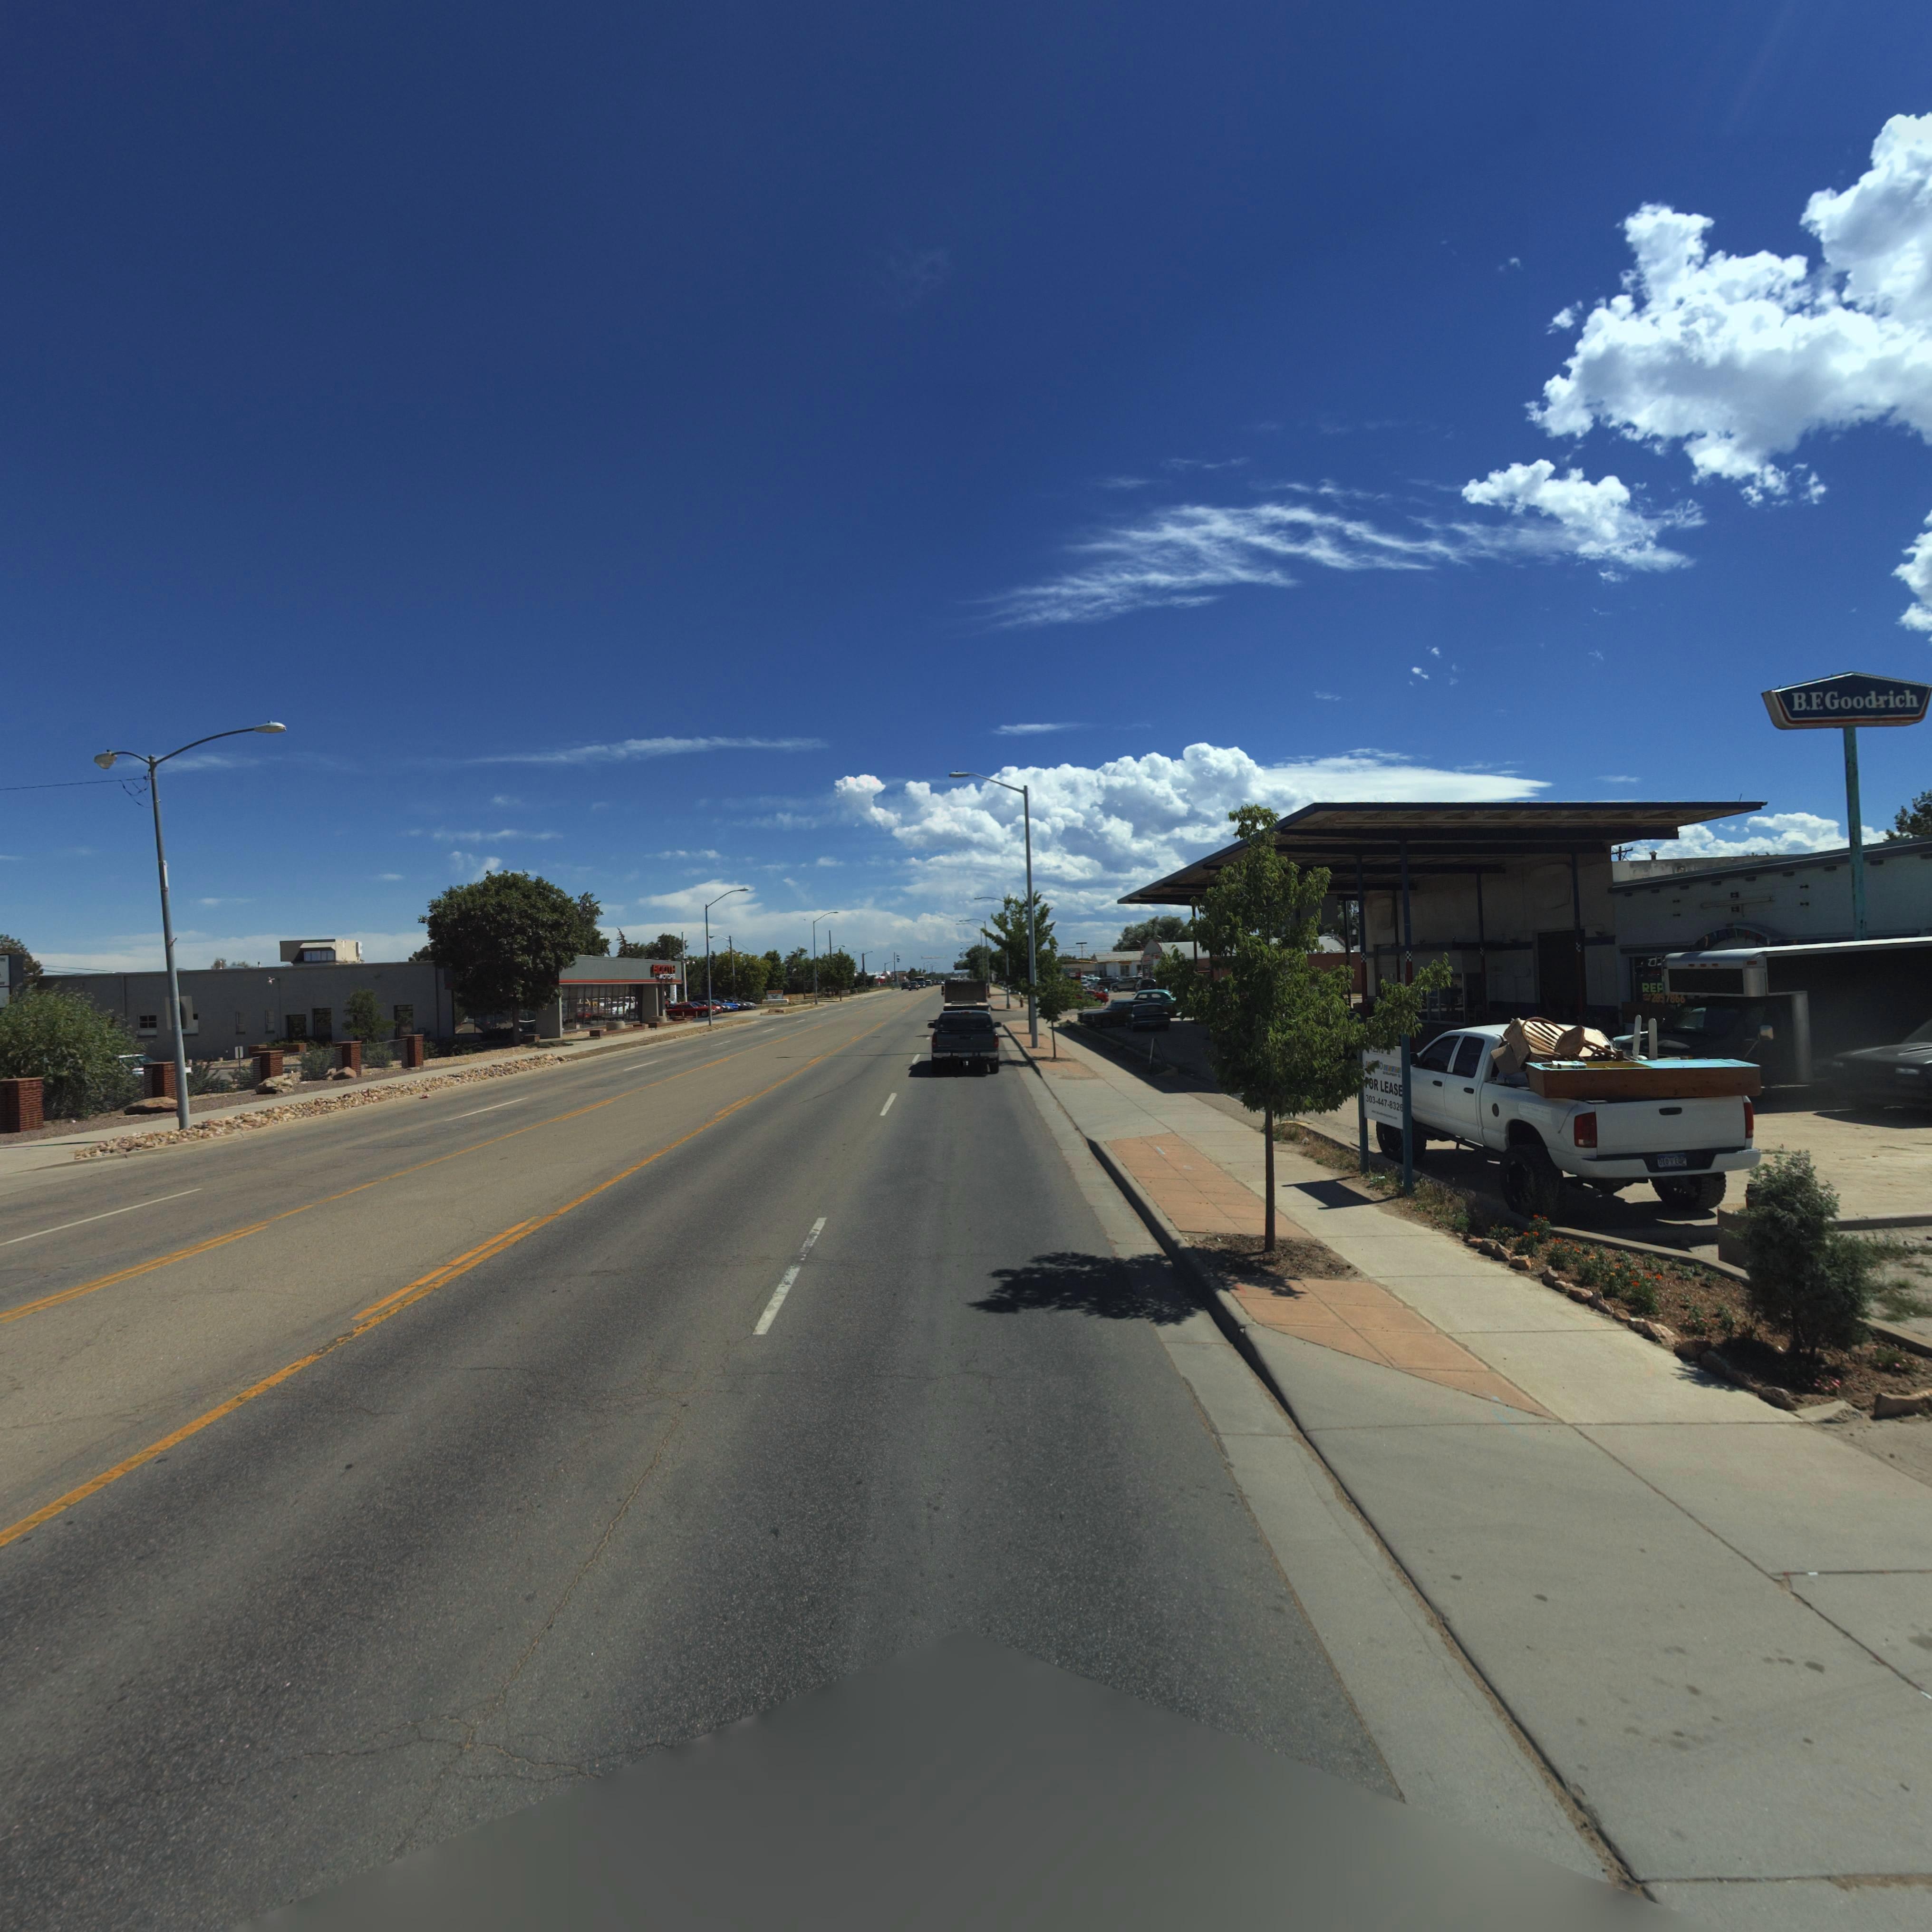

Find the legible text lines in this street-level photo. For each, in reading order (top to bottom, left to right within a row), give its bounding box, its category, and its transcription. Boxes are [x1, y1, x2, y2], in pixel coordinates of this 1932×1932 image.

[652, 964, 676, 974] BusinessName: BOOTH
[658, 974, 675, 979] BusinessName: *OTORS